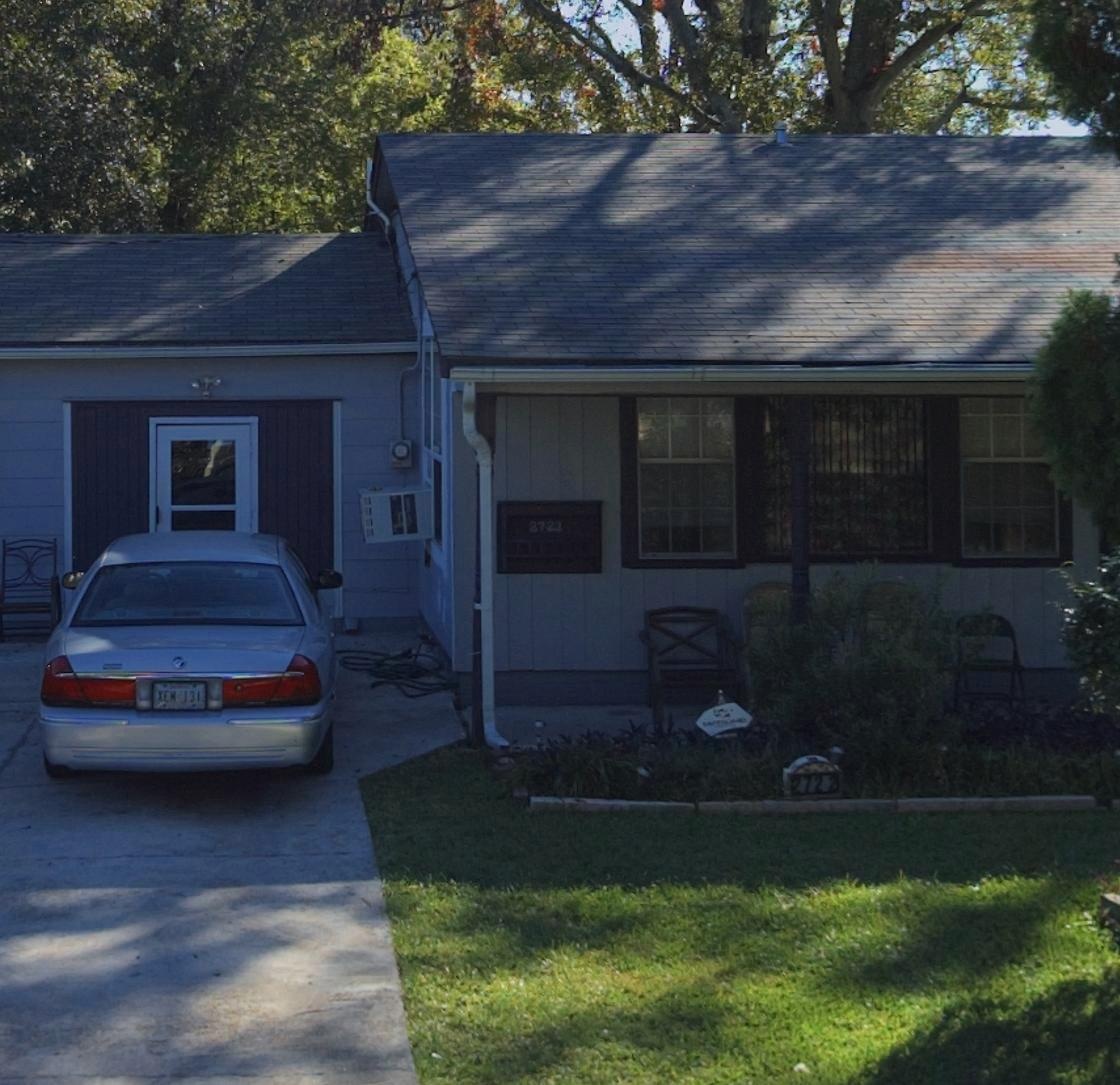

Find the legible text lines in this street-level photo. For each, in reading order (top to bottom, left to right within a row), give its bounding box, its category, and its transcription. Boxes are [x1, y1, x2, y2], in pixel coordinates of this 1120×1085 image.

[526, 518, 565, 535] StreetNumber: 2723
[156, 687, 203, 705] None: XE* *31